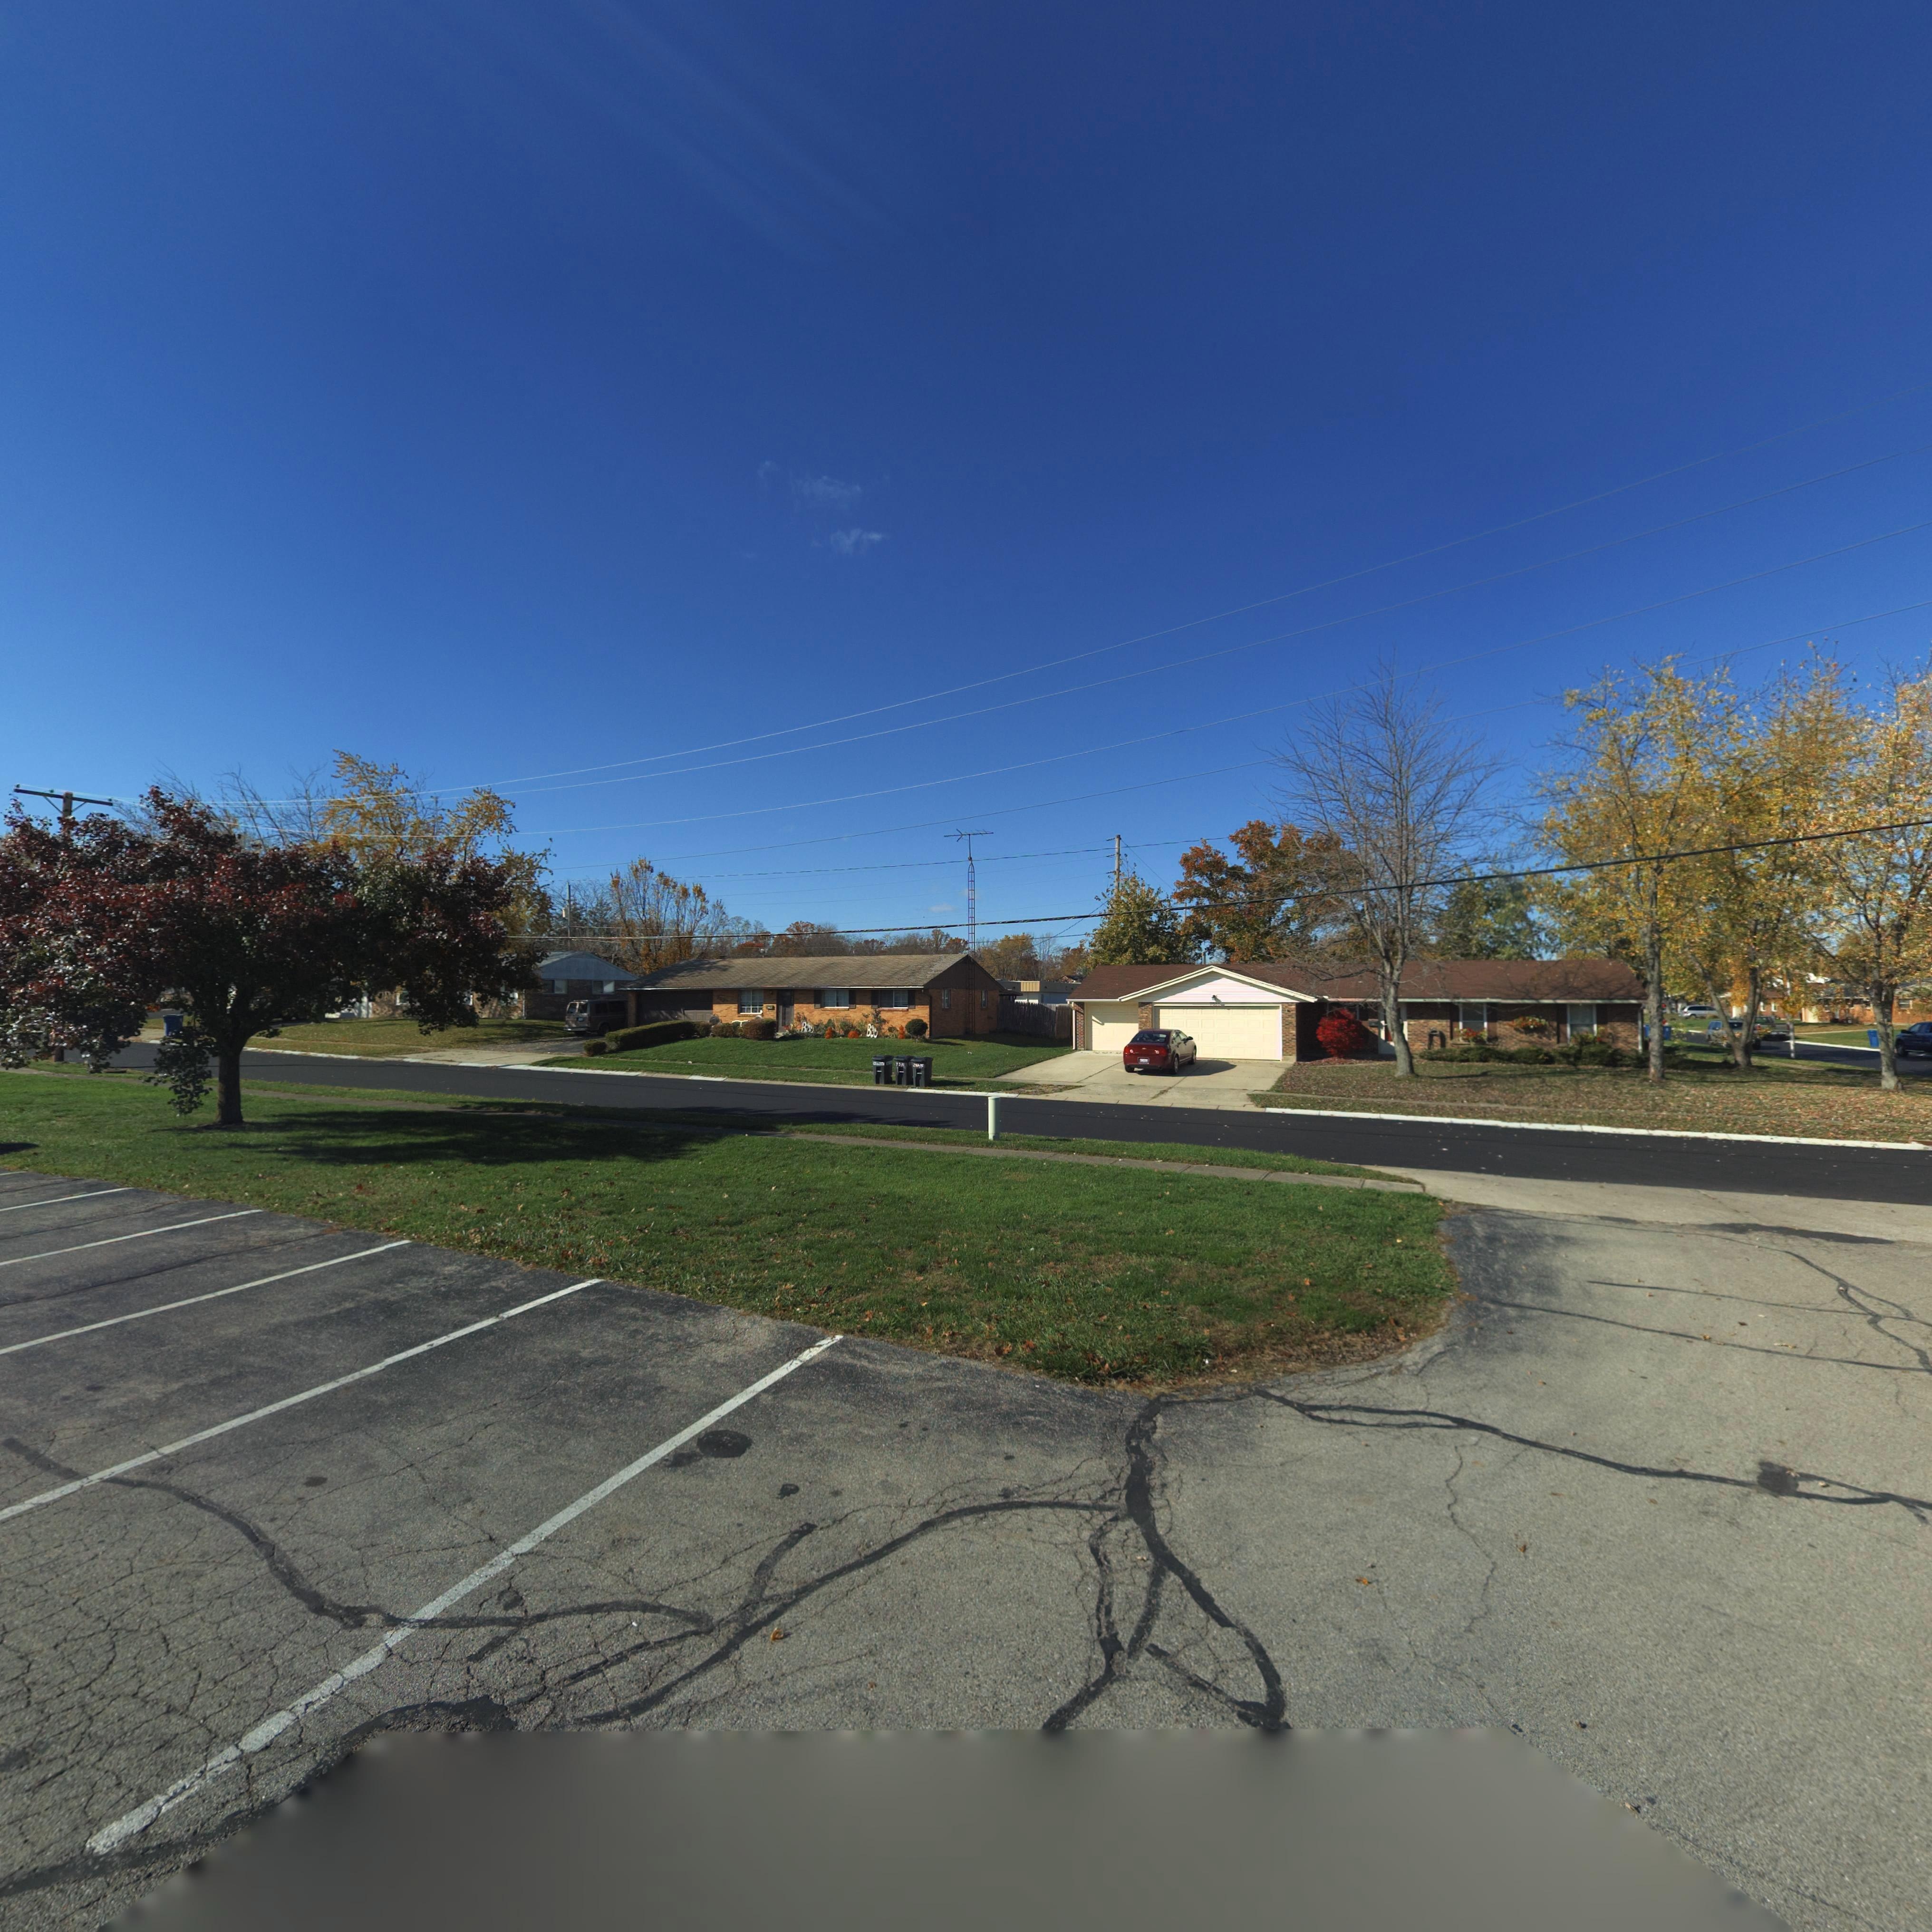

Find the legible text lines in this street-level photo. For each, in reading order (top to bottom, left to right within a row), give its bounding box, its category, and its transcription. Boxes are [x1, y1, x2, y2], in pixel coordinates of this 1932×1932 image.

[716, 995, 723, 1001] StreetNumber: 70
[1209, 1002, 1220, 1006] StreetNumber: 7531
[895, 1062, 905, 1067] StreetNumber: 75*1